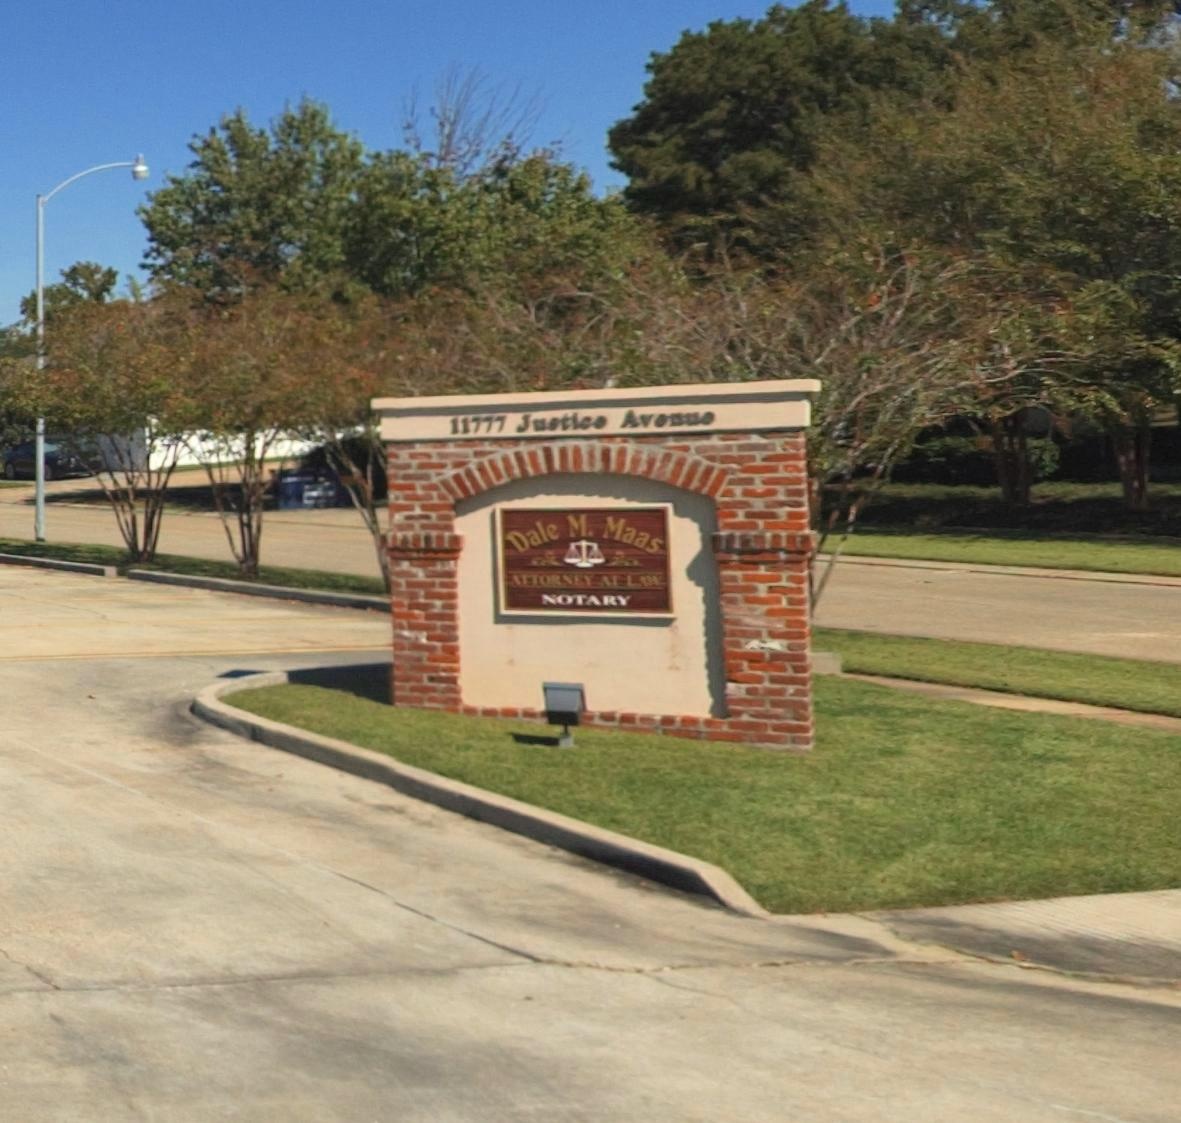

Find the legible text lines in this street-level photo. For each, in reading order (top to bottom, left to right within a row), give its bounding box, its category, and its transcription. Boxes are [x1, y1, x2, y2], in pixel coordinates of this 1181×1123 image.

[446, 412, 512, 438] StreetNumber: 11777
[512, 403, 723, 436] StreetName: Justice Avenue
[502, 509, 667, 558] BusinessName: Dale M. Maas
[505, 571, 667, 590] BusinessName: ATTORNEY AT LAW
[538, 591, 634, 609] None: NOTARY